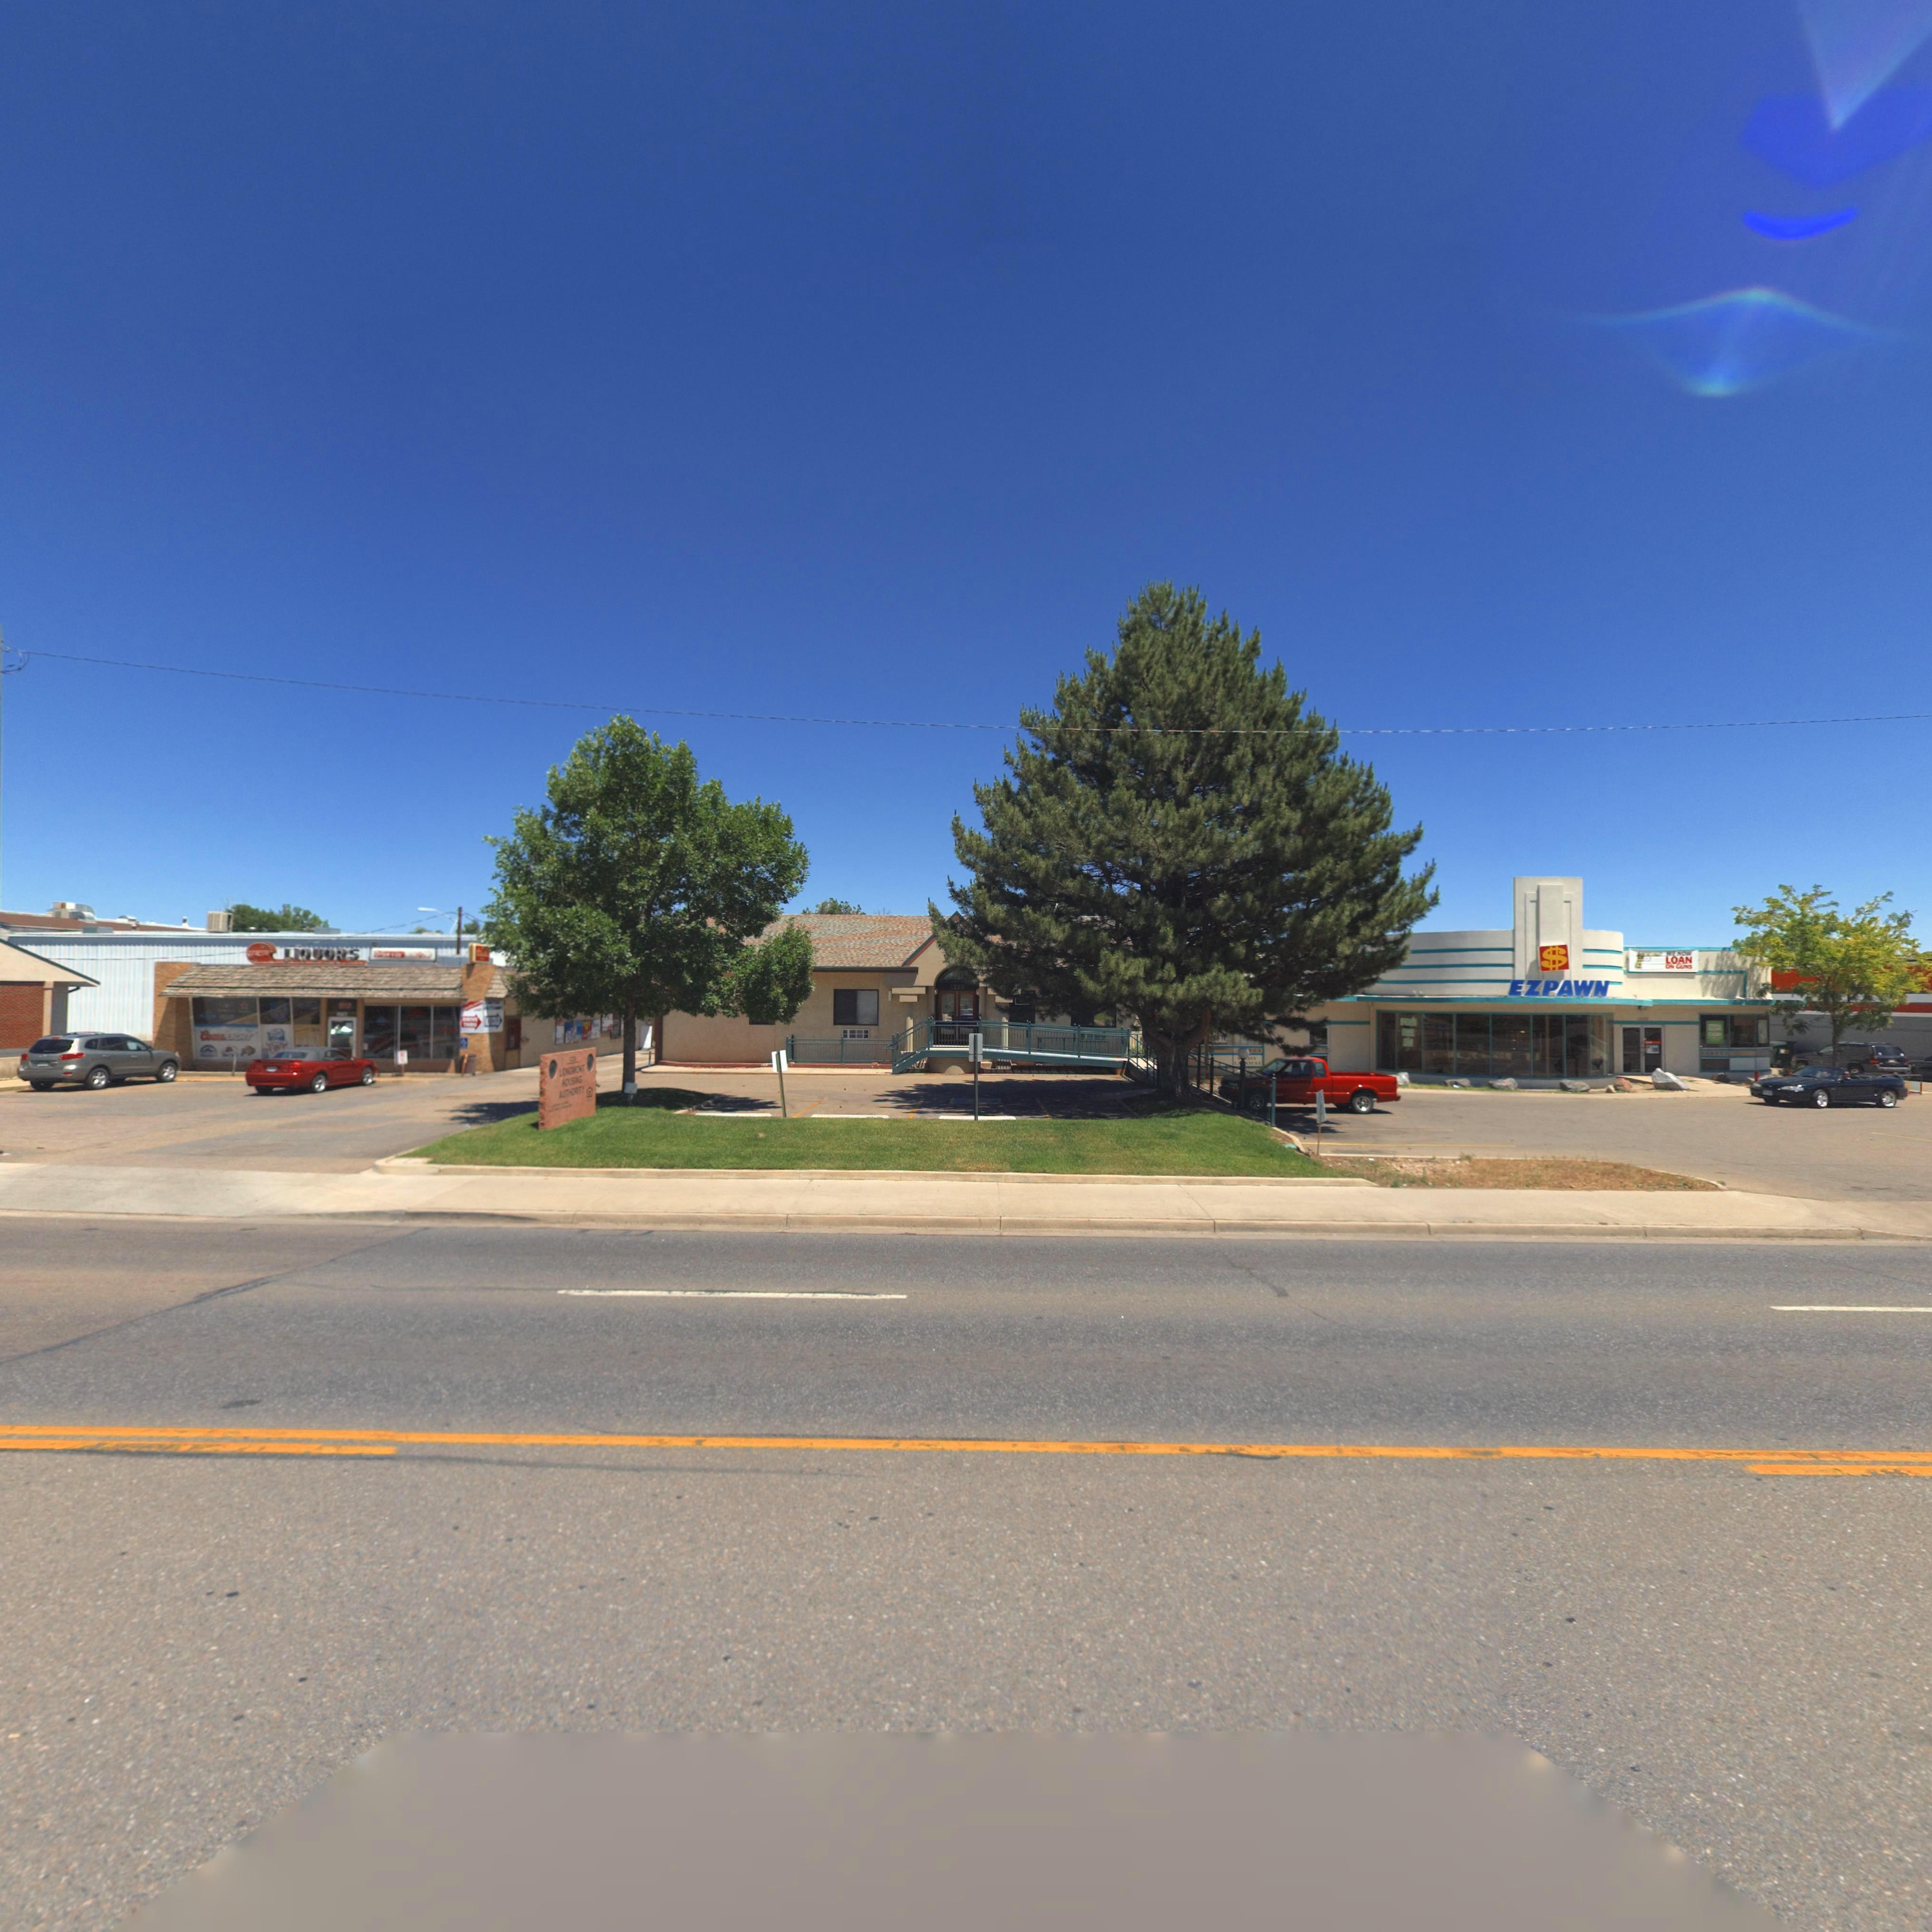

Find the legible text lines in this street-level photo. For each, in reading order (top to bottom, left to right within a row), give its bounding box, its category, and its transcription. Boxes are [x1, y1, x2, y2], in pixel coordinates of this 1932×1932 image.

[246, 949, 273, 957] BusinessName: QUALITY
[282, 947, 360, 960] BusinessName: LIQUORS
[950, 984, 964, 989] StreetNumber: 122*
[1507, 978, 1611, 997] BusinessName: EZPAWN
[1636, 1016, 1649, 1021] StreetNumber: 12**
[569, 1055, 576, 1062] StreetNumber: 122*
[559, 1064, 585, 1077] BusinessName: LONGMONT
[561, 1075, 583, 1088] BusinessName: HOUSING
[558, 1085, 585, 1099] BusinessName: AUTHORITY